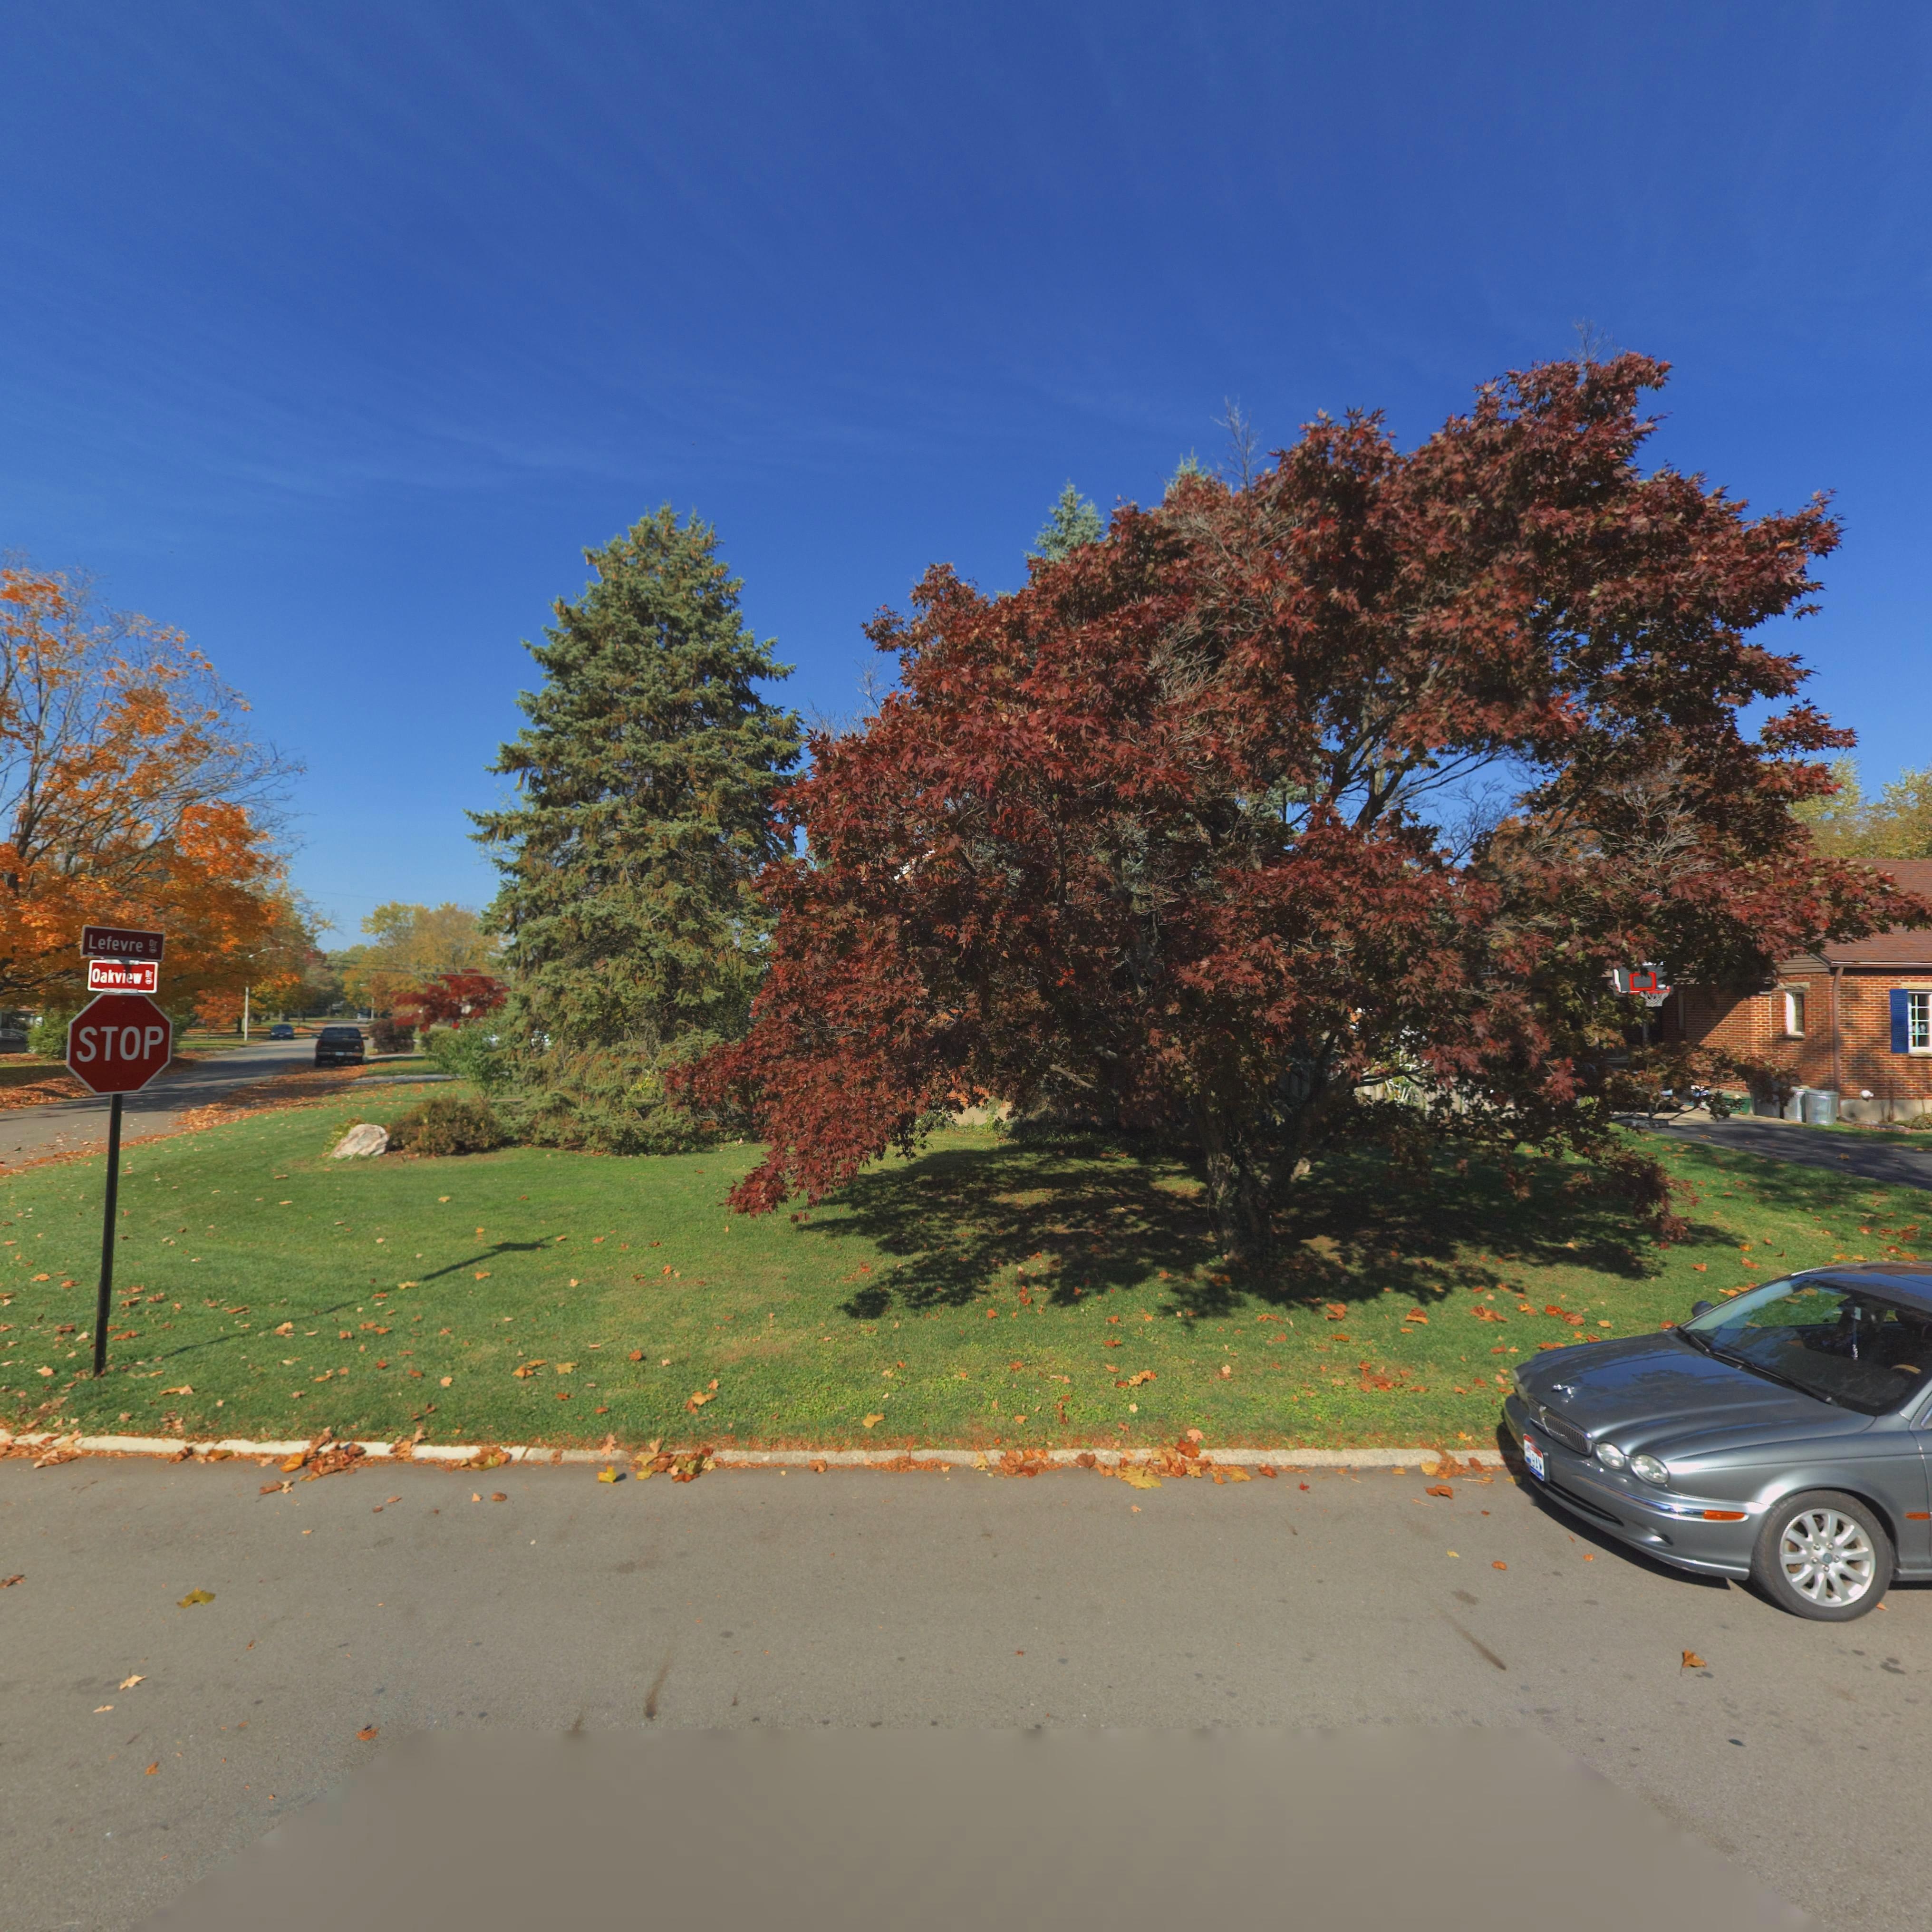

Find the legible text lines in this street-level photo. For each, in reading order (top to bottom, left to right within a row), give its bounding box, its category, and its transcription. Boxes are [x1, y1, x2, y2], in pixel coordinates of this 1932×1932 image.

[88, 934, 158, 953] StreetName: Lefevre Dr
[91, 968, 154, 985] StreetName: Oakview Dr
[76, 1026, 164, 1063] None: STOP
[1531, 1453, 1539, 1472] None: 9A